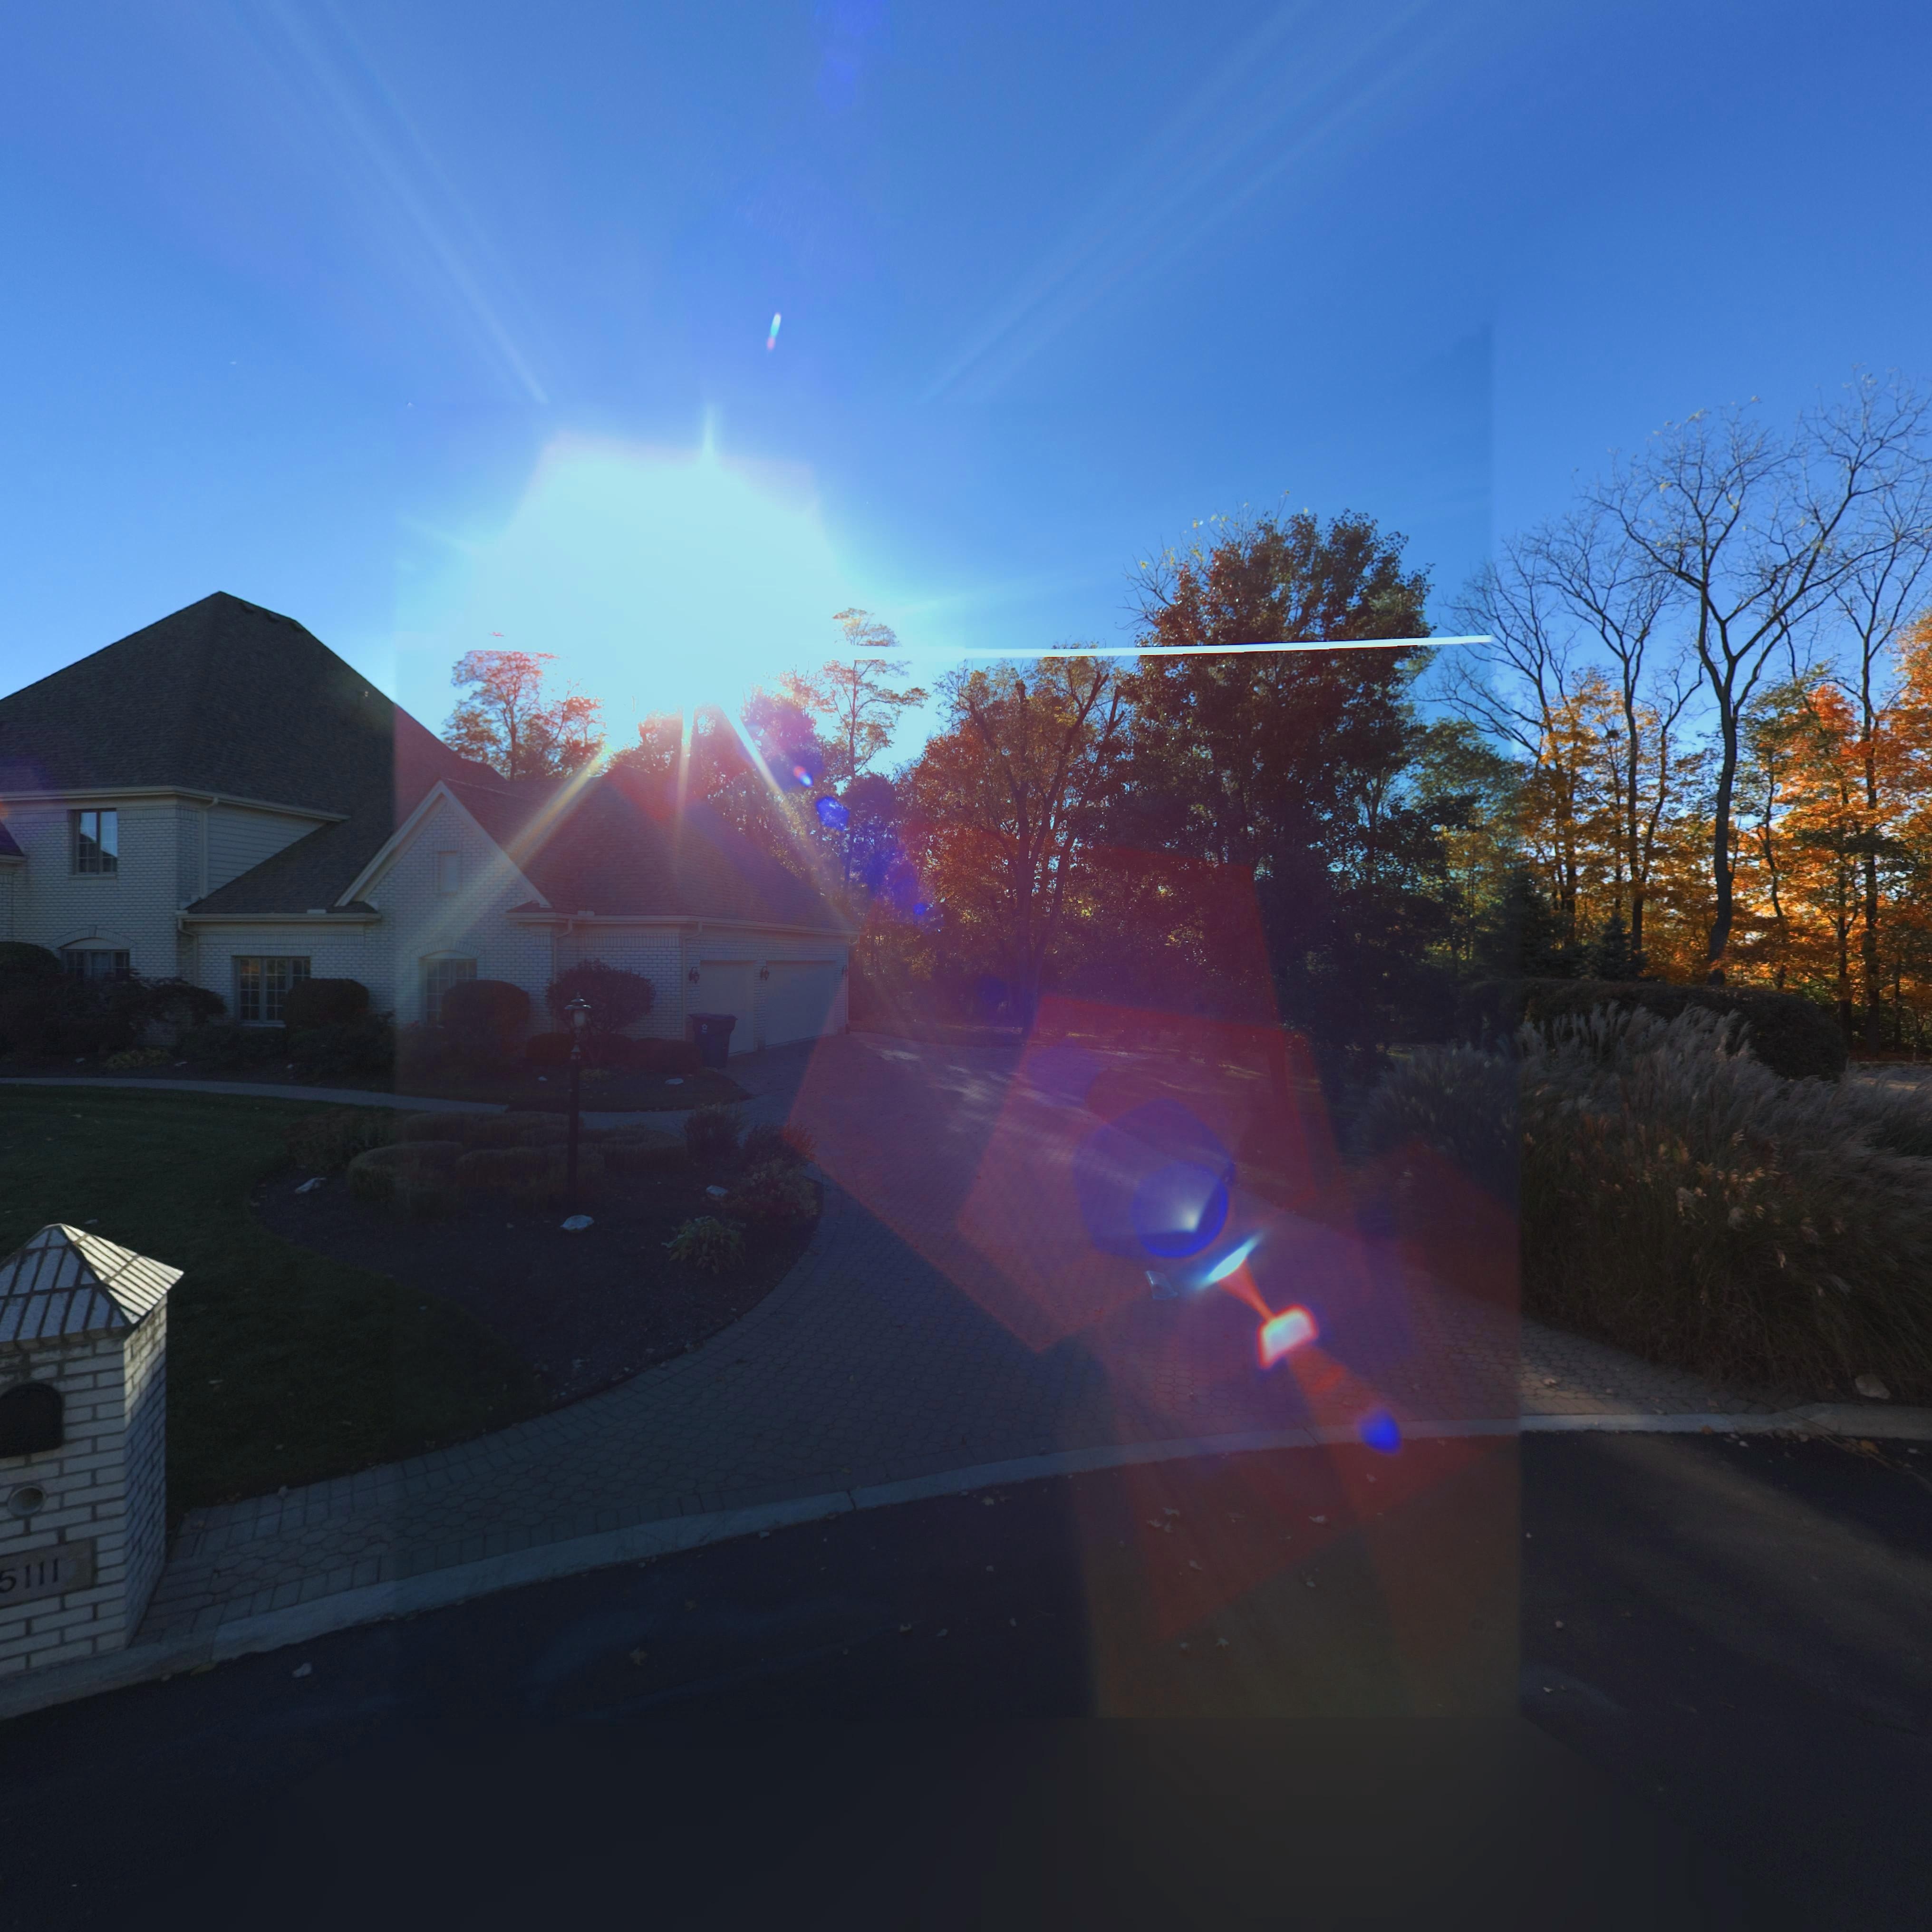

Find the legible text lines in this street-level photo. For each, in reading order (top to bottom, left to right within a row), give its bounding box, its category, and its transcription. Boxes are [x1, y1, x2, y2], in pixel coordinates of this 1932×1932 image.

[22, 1554, 62, 1593] StreetNumber: 111